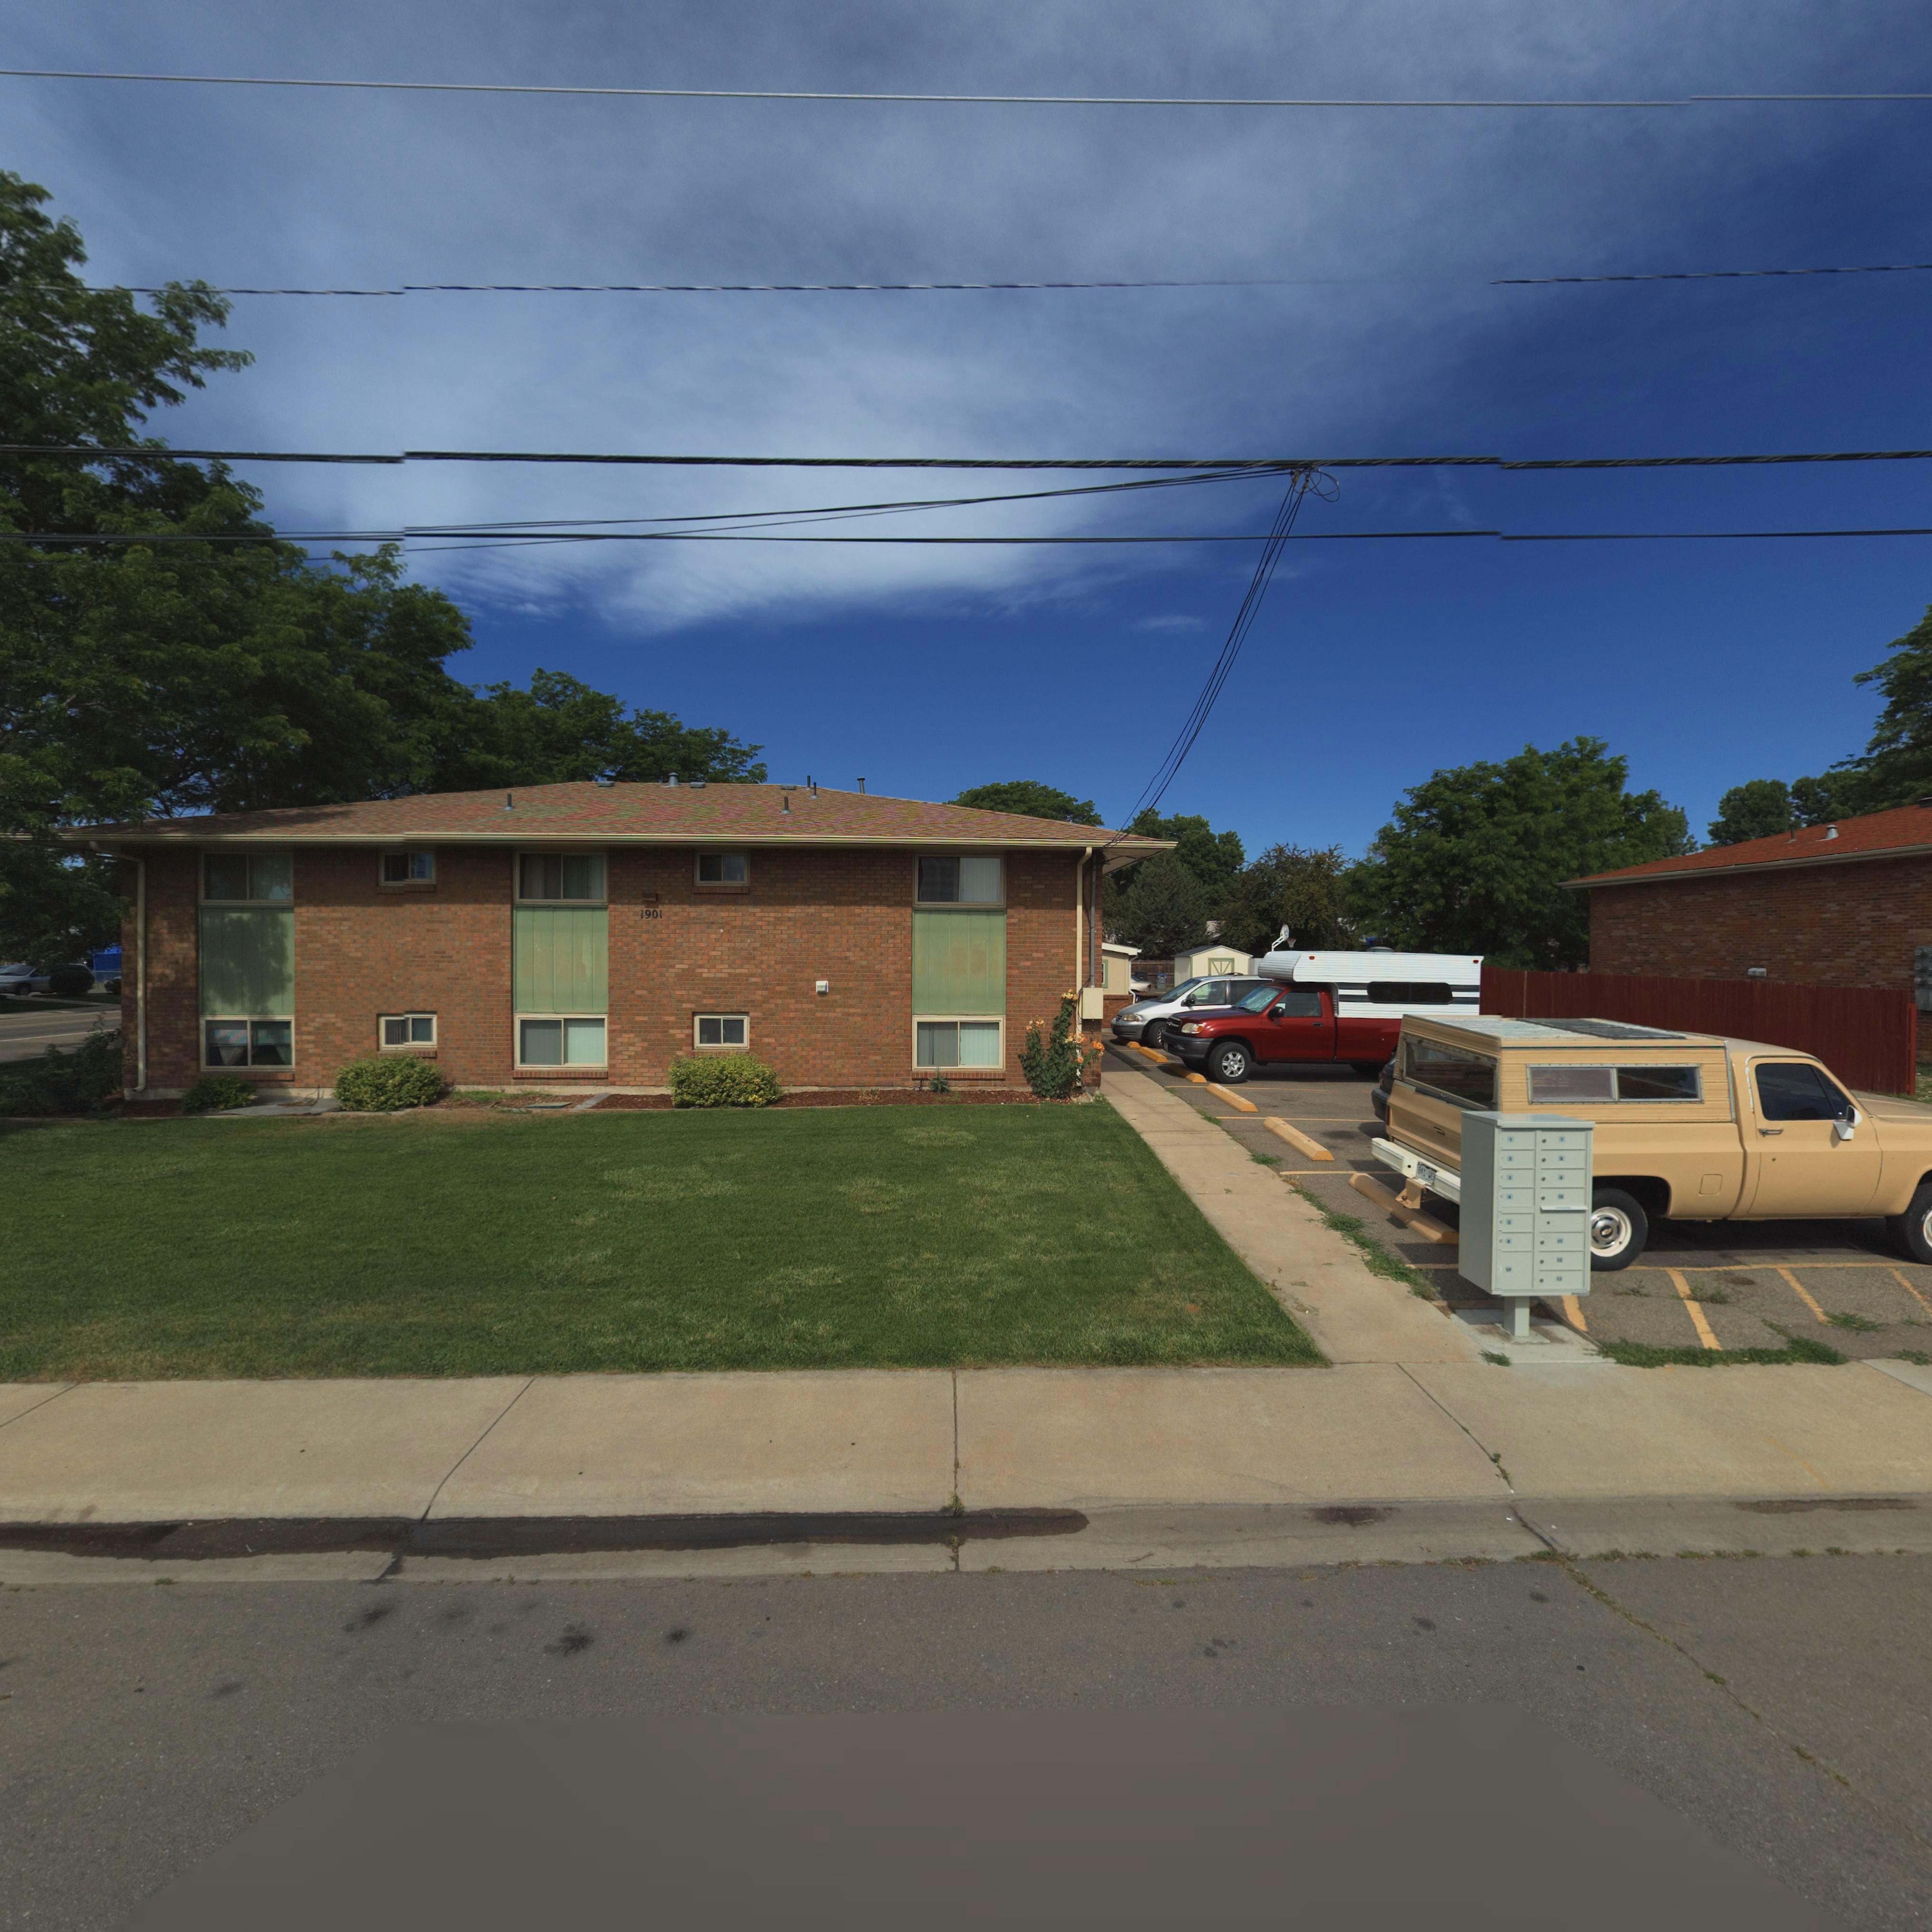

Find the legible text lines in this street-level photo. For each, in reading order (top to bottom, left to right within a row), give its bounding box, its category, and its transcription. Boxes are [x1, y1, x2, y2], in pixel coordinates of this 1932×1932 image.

[640, 909, 663, 919] StreetNumber: 1901